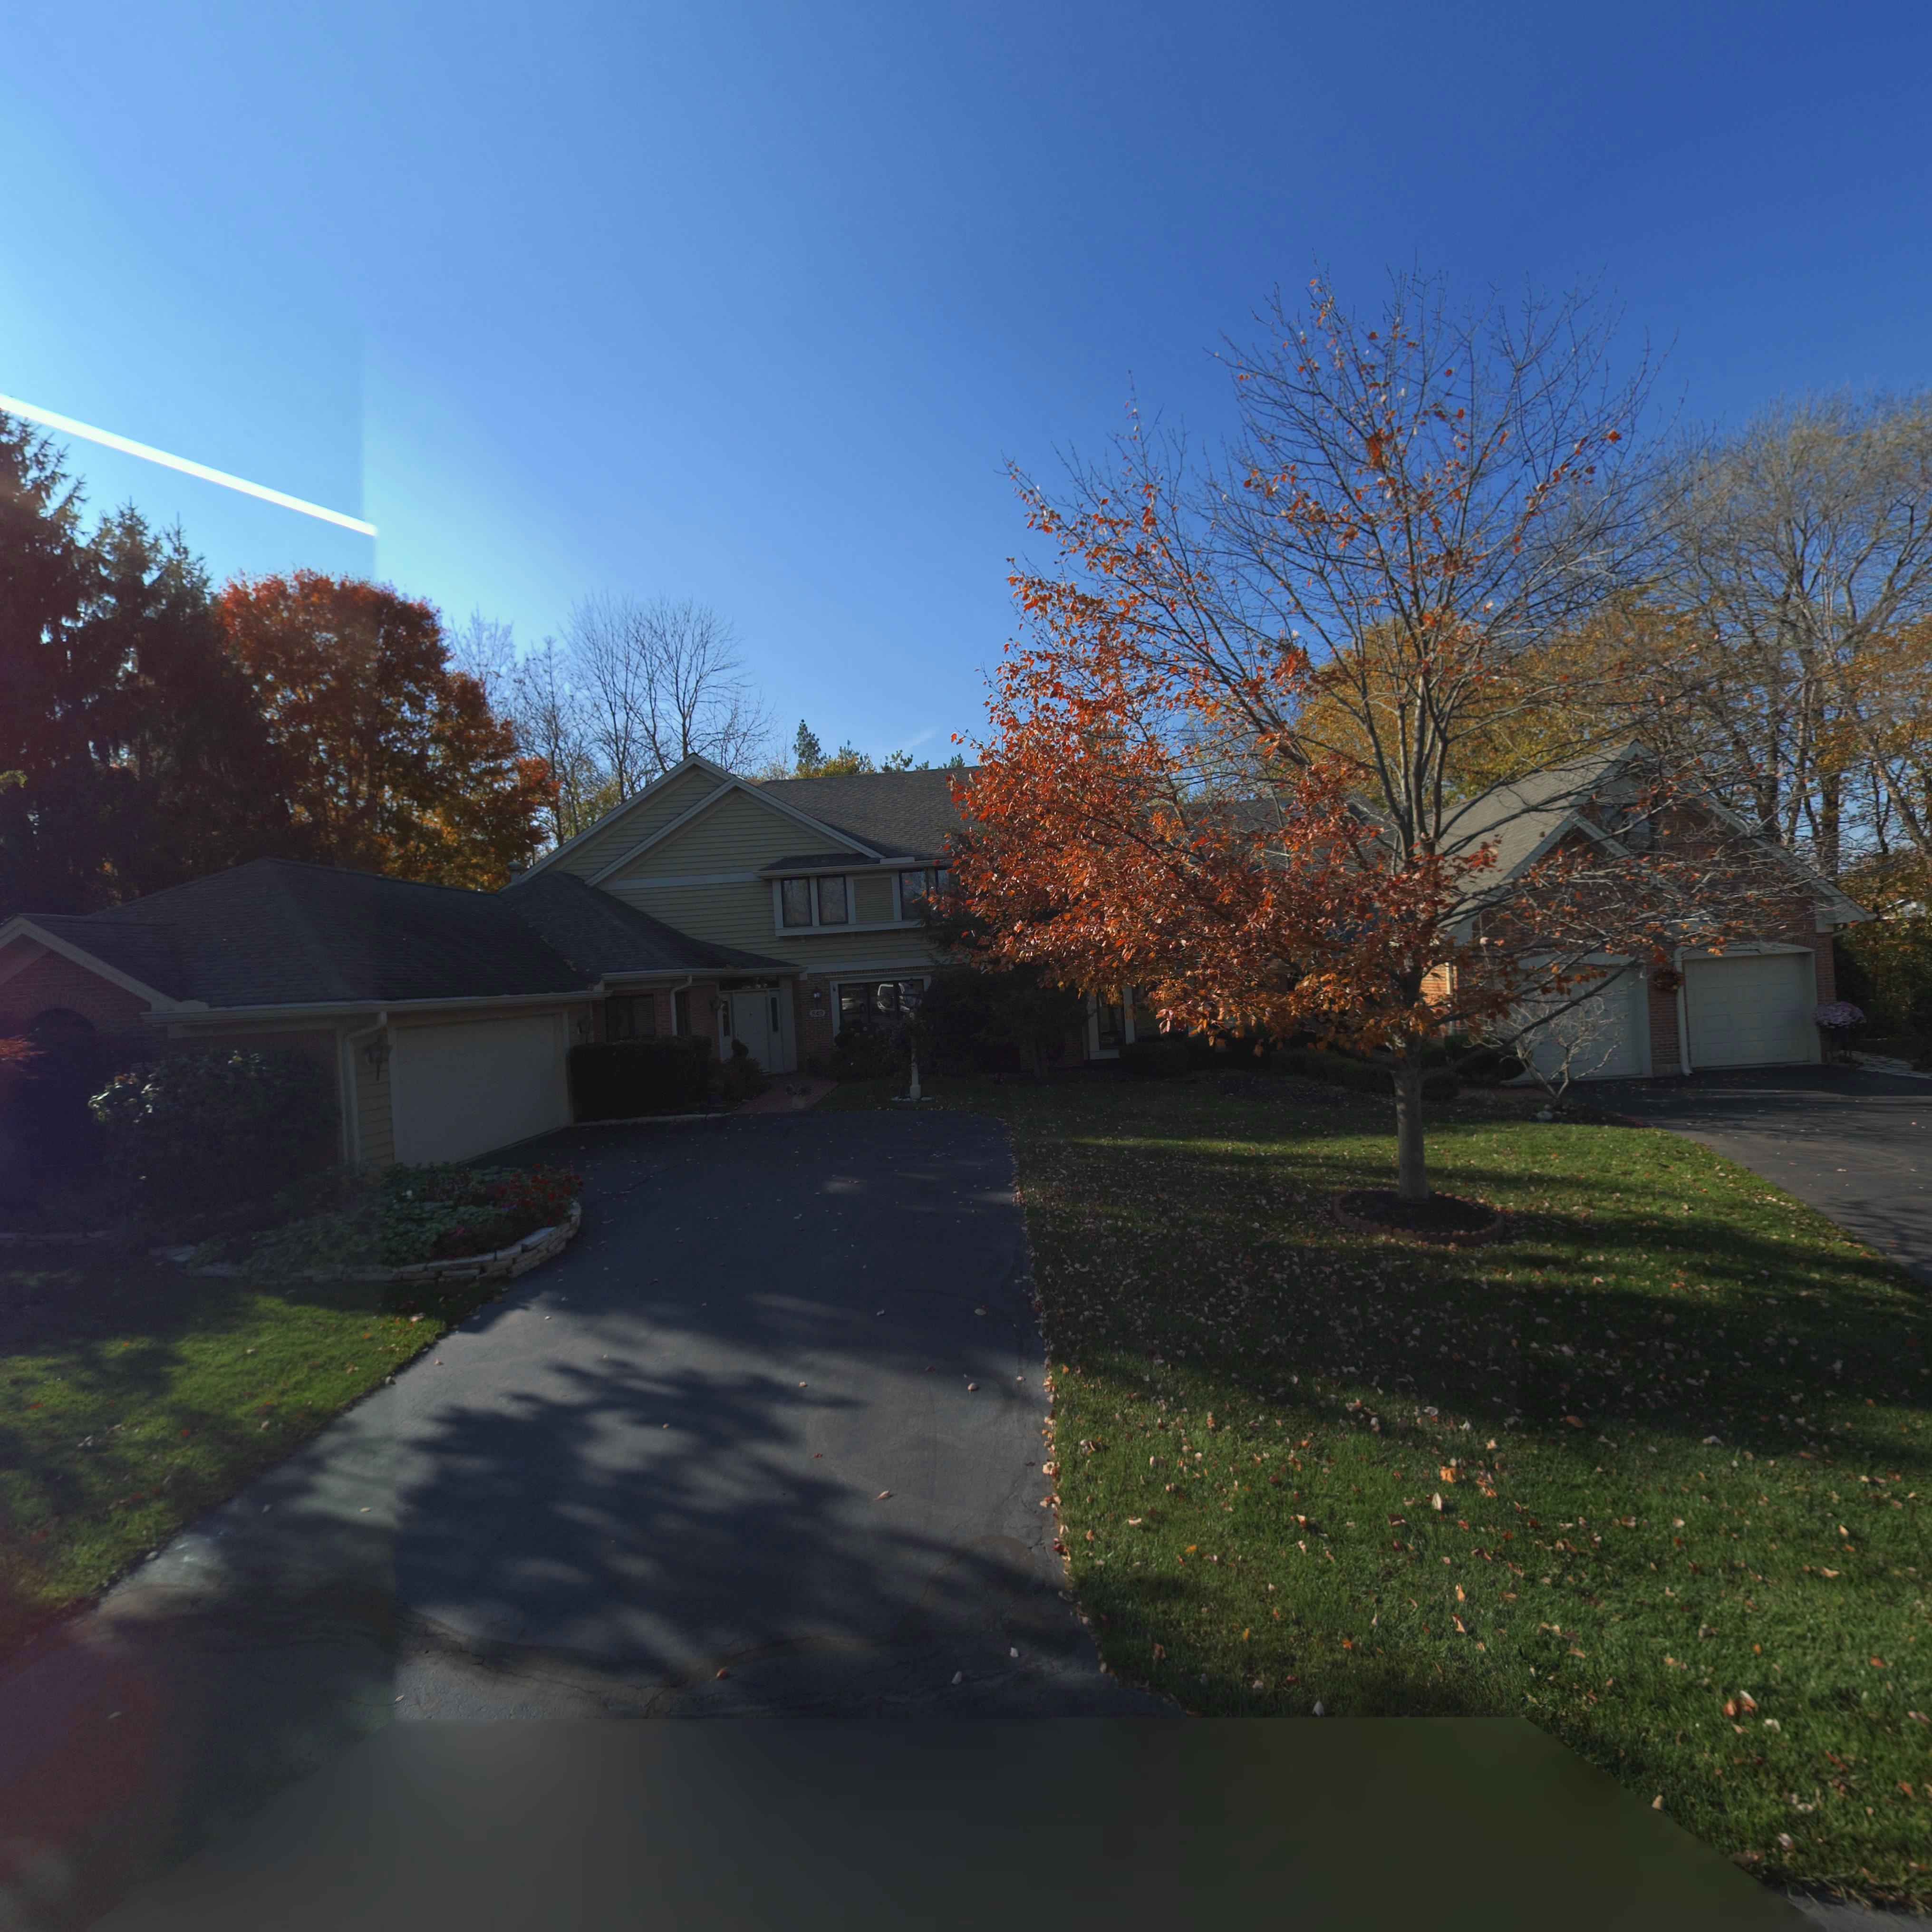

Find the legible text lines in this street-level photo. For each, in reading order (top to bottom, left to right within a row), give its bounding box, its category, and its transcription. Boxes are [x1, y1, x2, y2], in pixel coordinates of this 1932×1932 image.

[811, 1010, 823, 1017] StreetNumber: 849